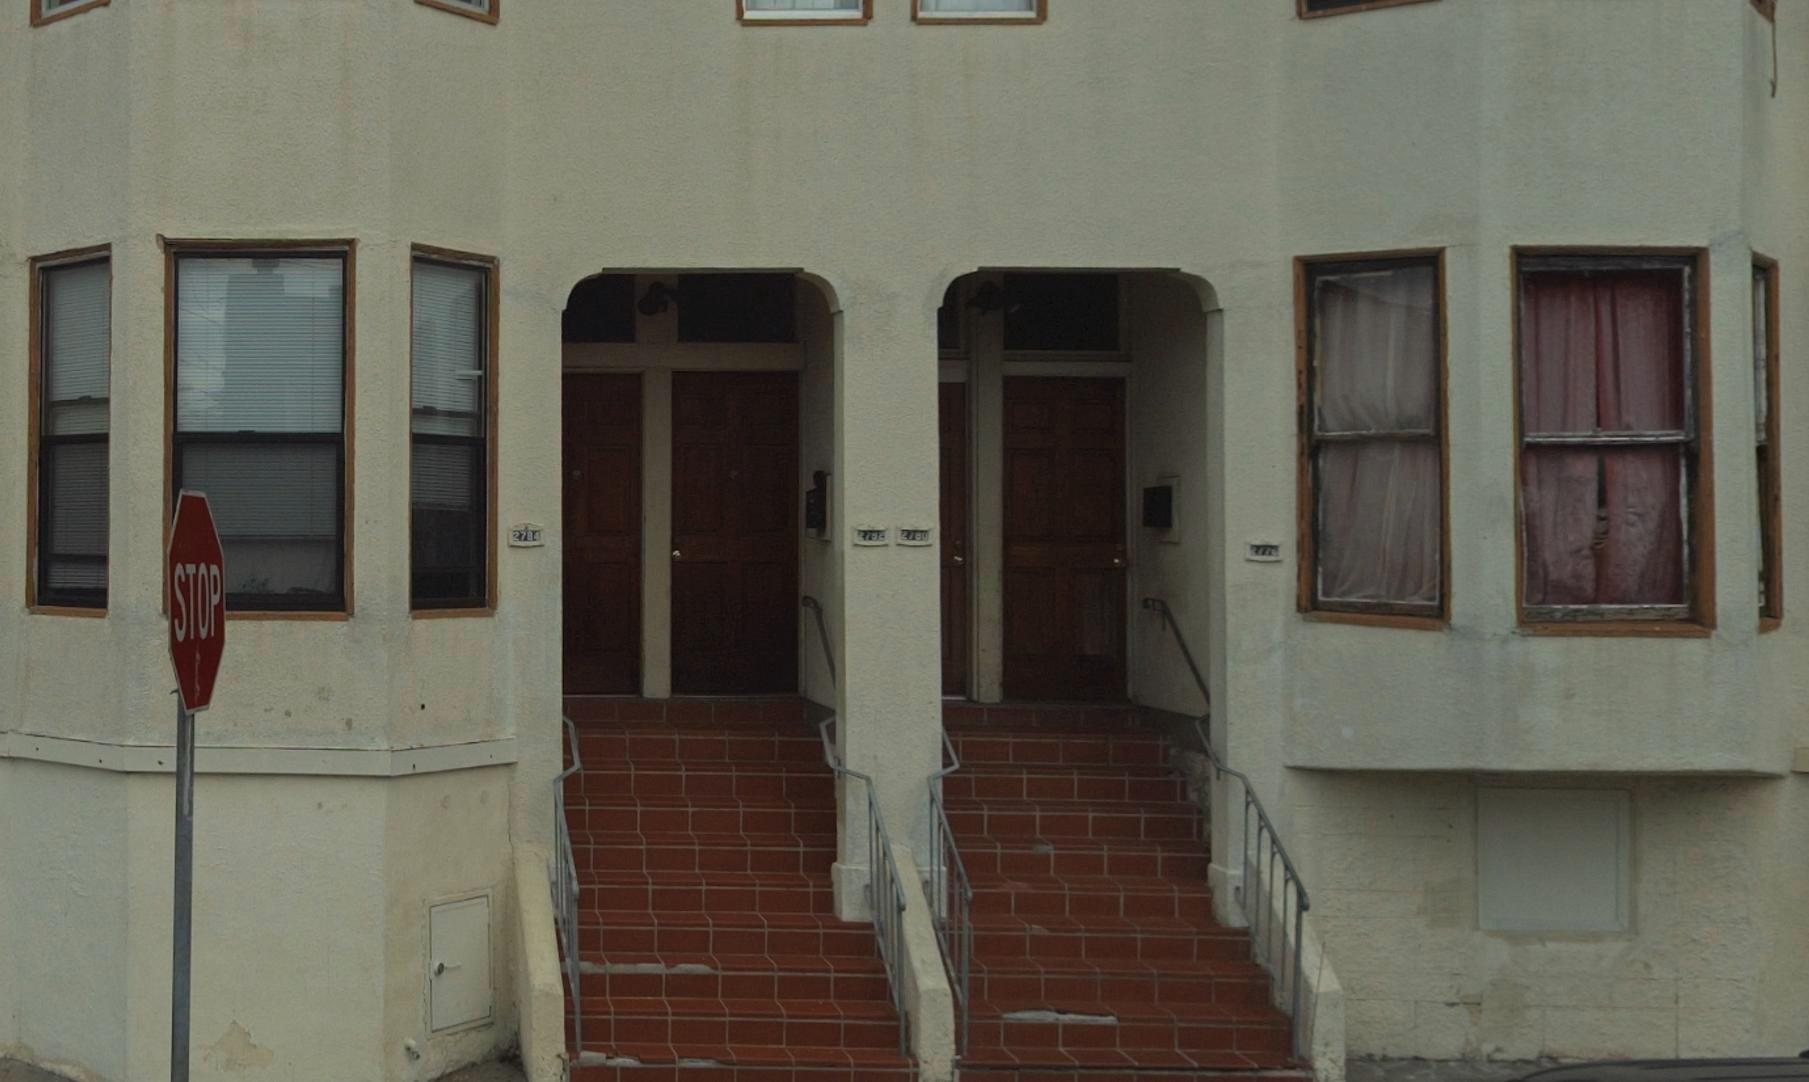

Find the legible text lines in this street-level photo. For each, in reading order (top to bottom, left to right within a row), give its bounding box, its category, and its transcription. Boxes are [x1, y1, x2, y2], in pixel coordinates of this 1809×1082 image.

[512, 530, 541, 542] StreetNumber: 2784
[857, 530, 886, 542] StreetNumber: 2782
[900, 530, 928, 541] StreetNumber: 2780
[1250, 545, 1278, 557] StreetNumber: 2778
[171, 561, 222, 647] None: STOP